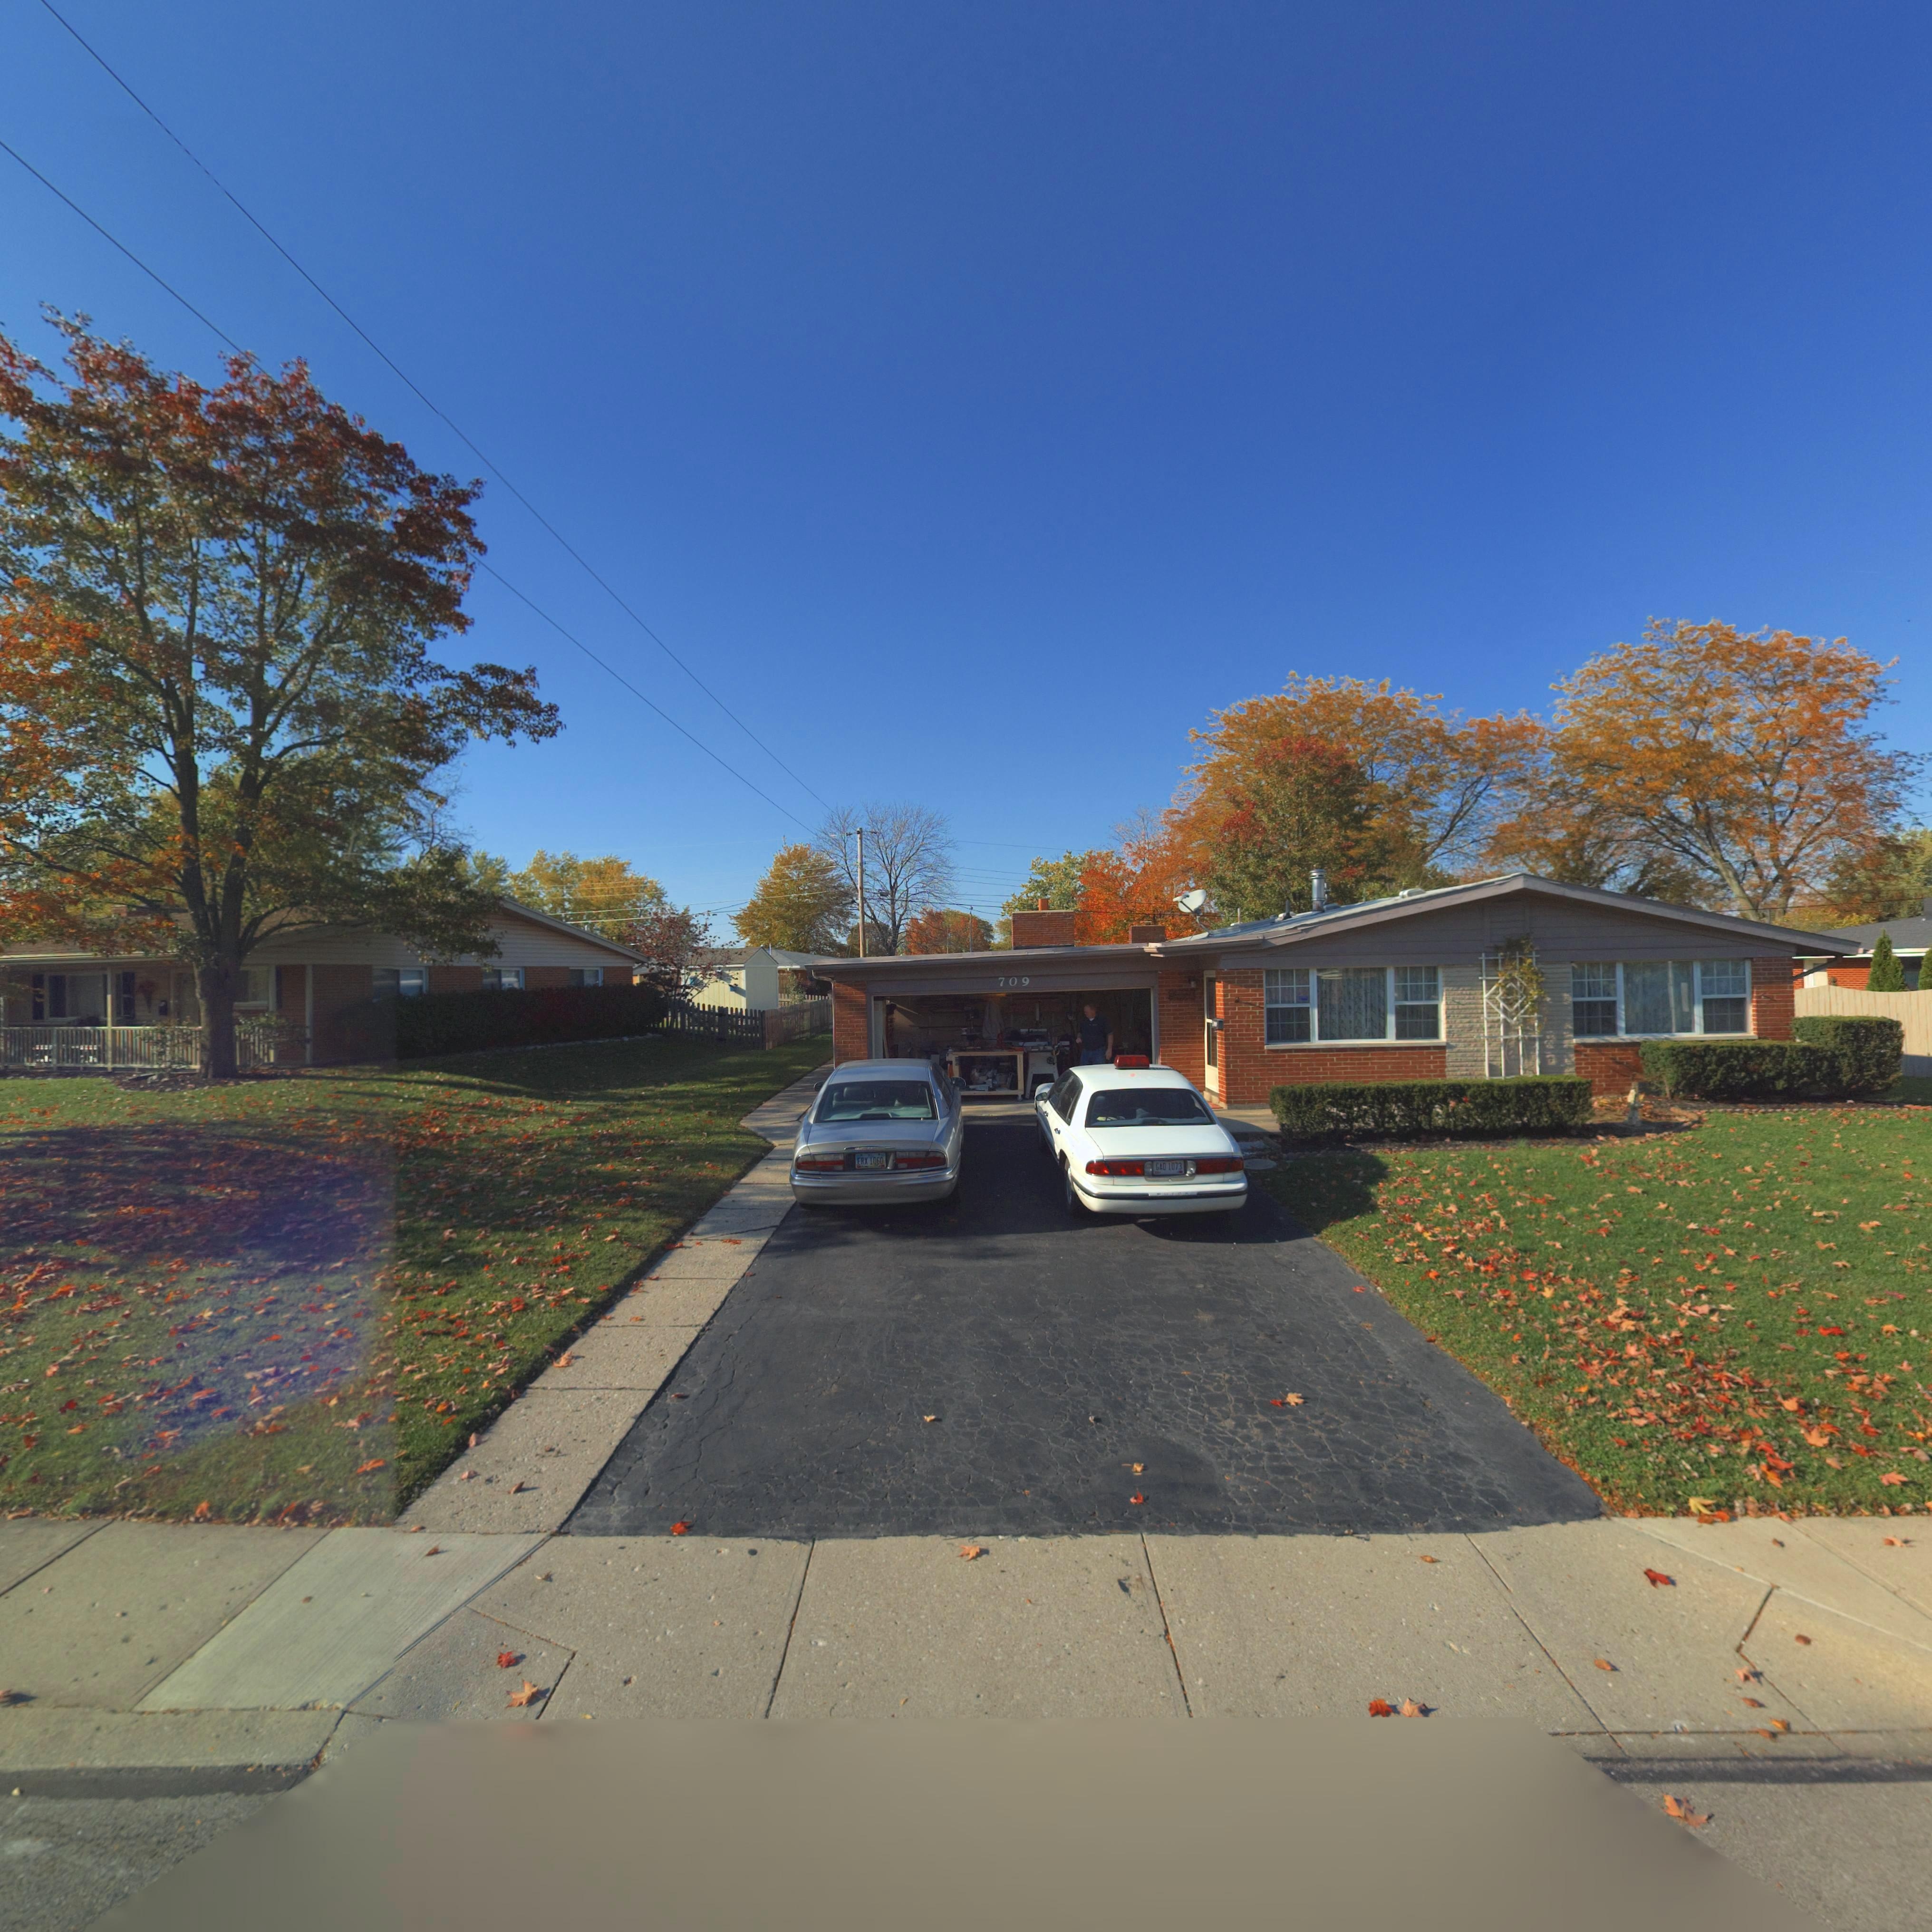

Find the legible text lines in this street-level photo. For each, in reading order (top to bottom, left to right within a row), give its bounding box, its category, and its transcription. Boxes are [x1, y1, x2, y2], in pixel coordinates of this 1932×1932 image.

[997, 976, 1030, 987] StreetNumber: 709